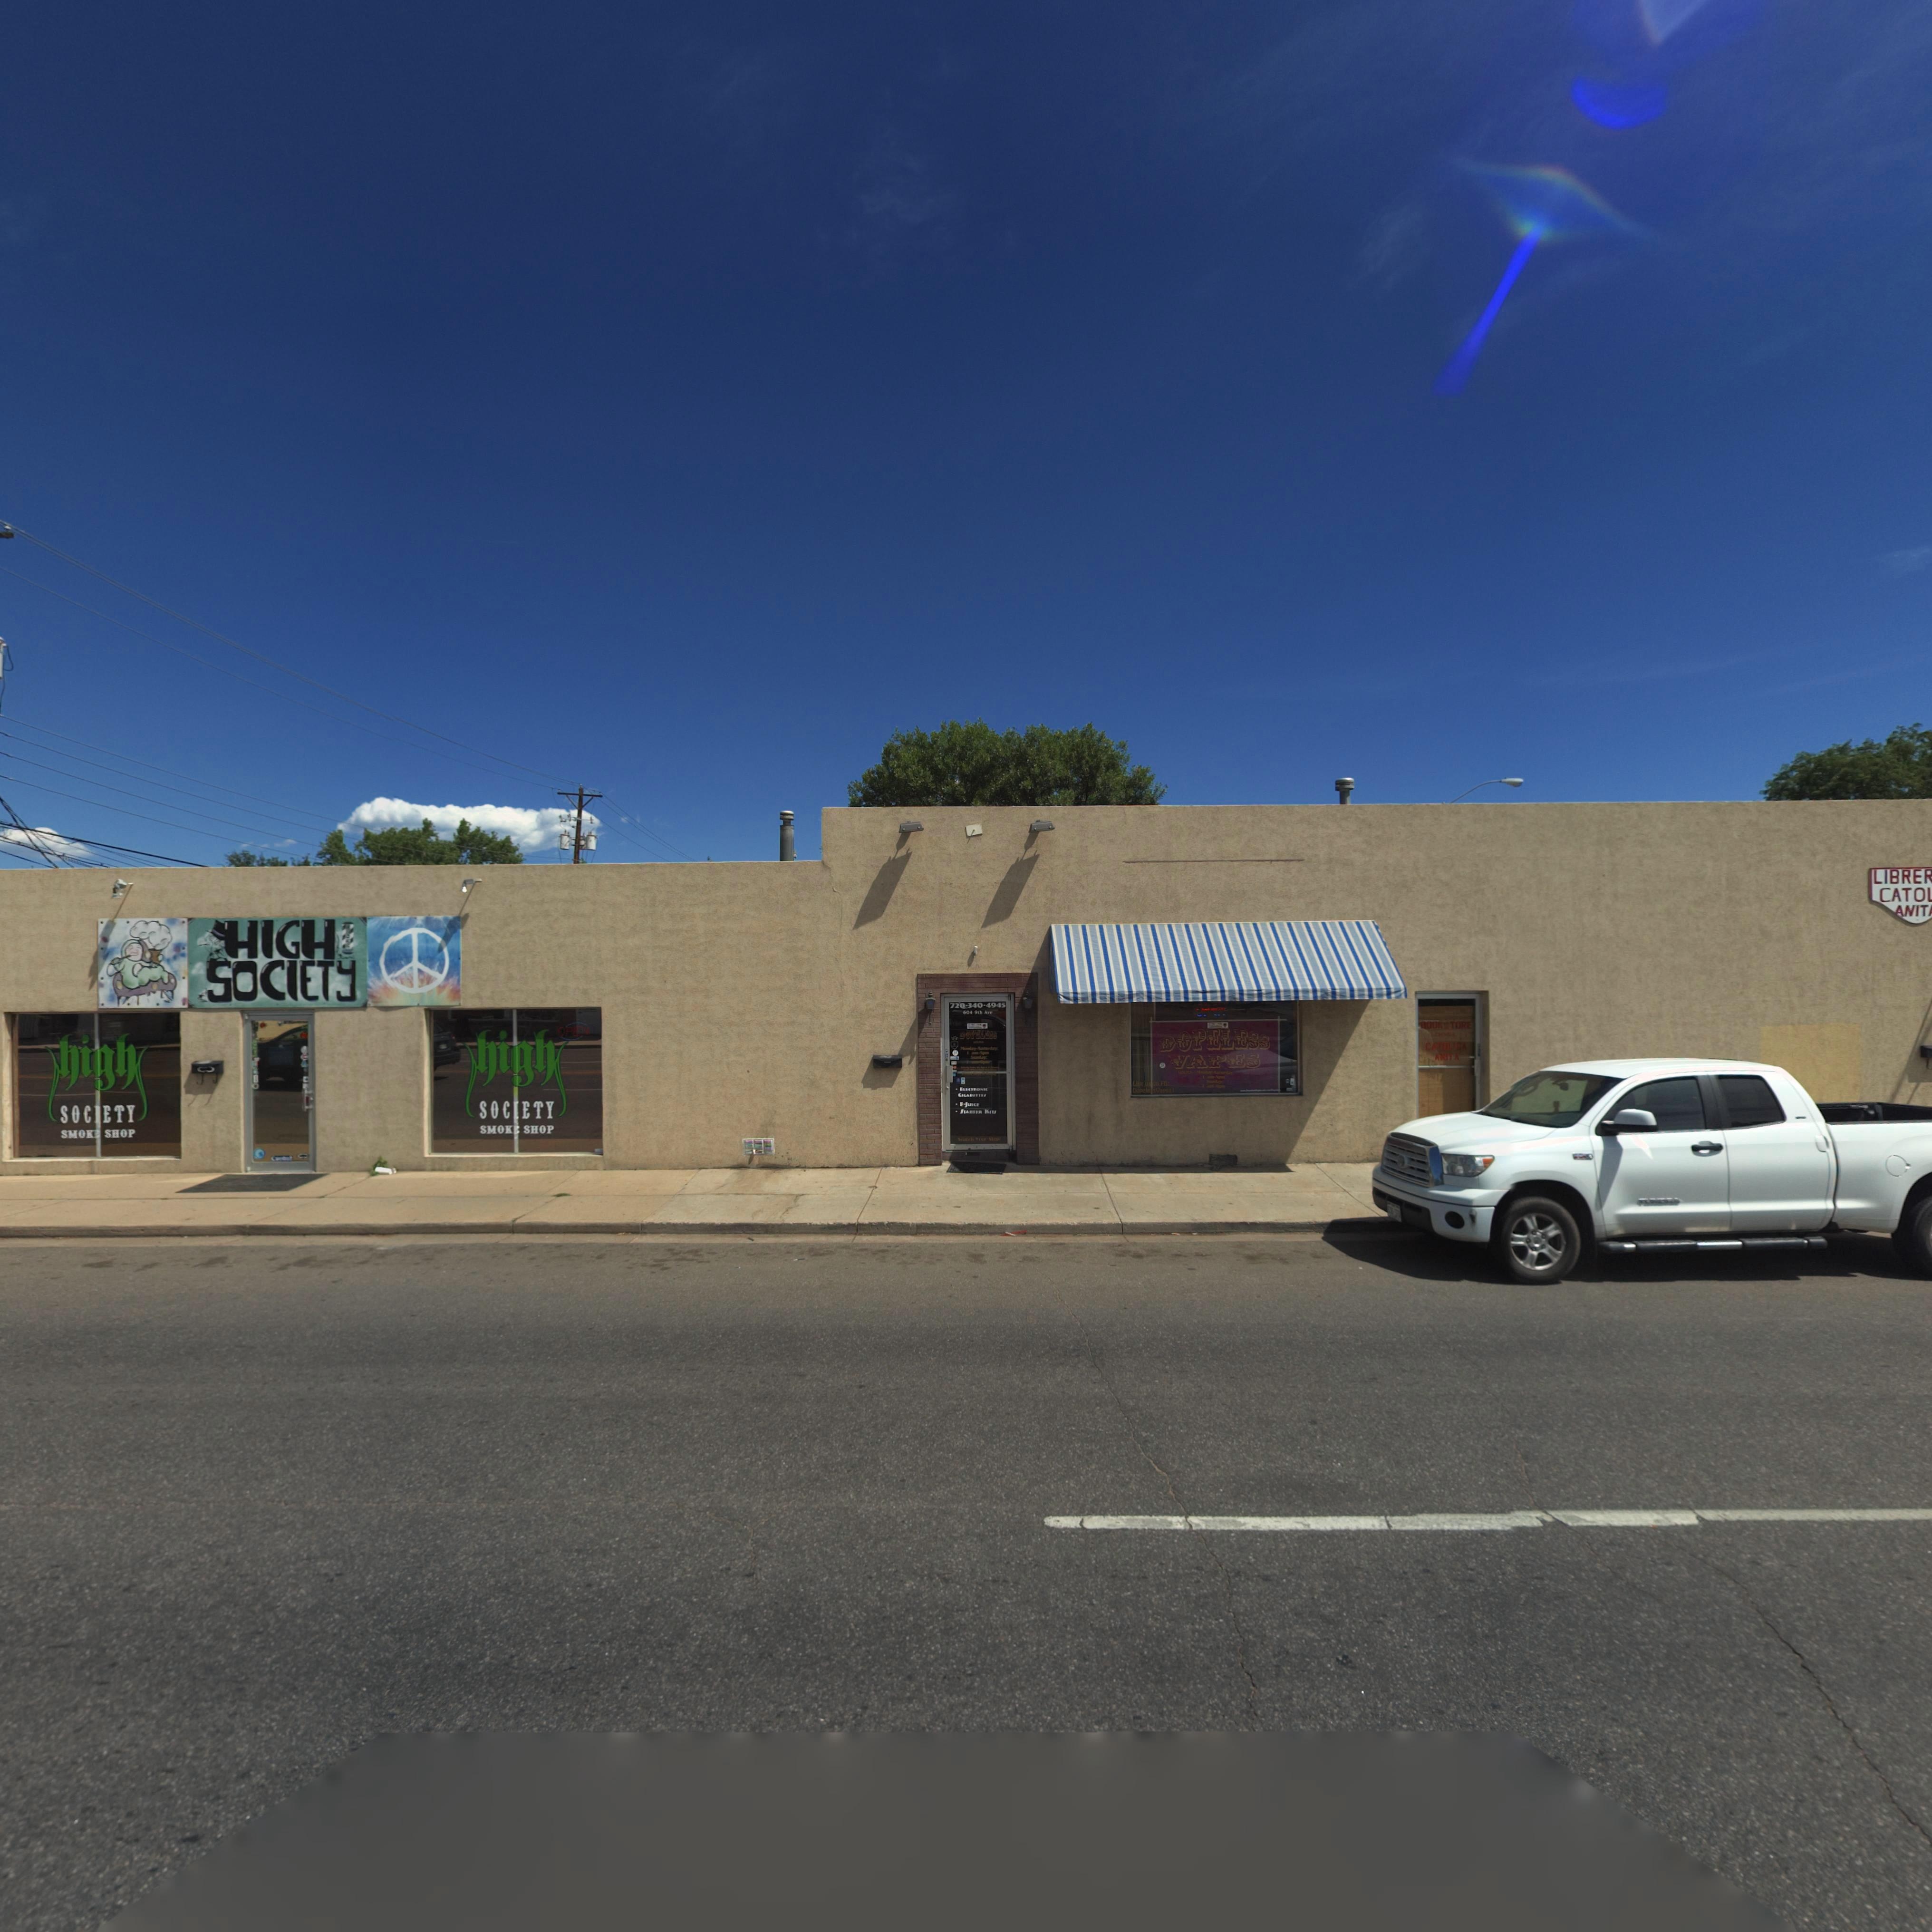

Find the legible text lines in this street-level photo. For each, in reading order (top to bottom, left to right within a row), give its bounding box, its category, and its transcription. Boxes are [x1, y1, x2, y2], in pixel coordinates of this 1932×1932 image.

[222, 917, 337, 960] BusinessName: HIGH
[204, 958, 357, 1003] BusinessName: SOCIETy
[962, 1010, 973, 1014] StreetNumber: 604
[974, 1009, 993, 1014] StreetName: 9** A*e
[958, 1029, 998, 1039] BusinessName: **PEL*S*
[1155, 1027, 1271, 1053] BusinessName: DOPELESS
[58, 1032, 137, 1092] BusinessName: high
[474, 1028, 556, 1088] BusinessName: high
[1166, 1052, 1263, 1070] BusinessName: VAPES
[59, 1103, 136, 1124] BusinessName: SOC*ETY
[478, 1100, 555, 1120] BusinessName: SOC*ETY
[60, 1128, 137, 1139] BusinessName: SMOK* SHOP
[479, 1124, 555, 1134] BusinessName: SMOK* SHOP